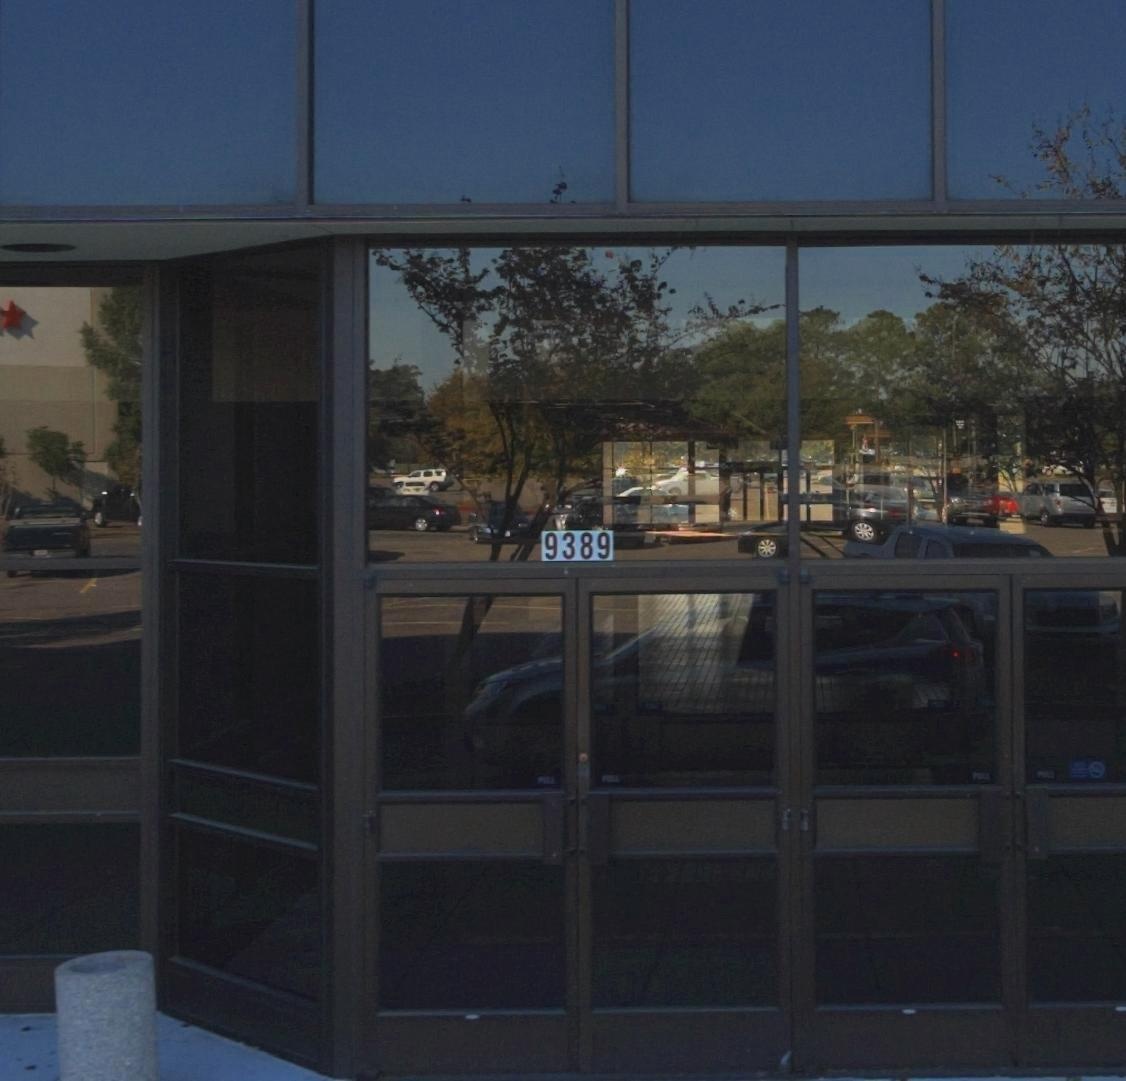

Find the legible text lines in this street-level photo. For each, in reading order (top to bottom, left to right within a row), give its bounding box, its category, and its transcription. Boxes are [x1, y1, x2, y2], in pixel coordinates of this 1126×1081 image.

[543, 531, 611, 561] StreetNumber: 9389